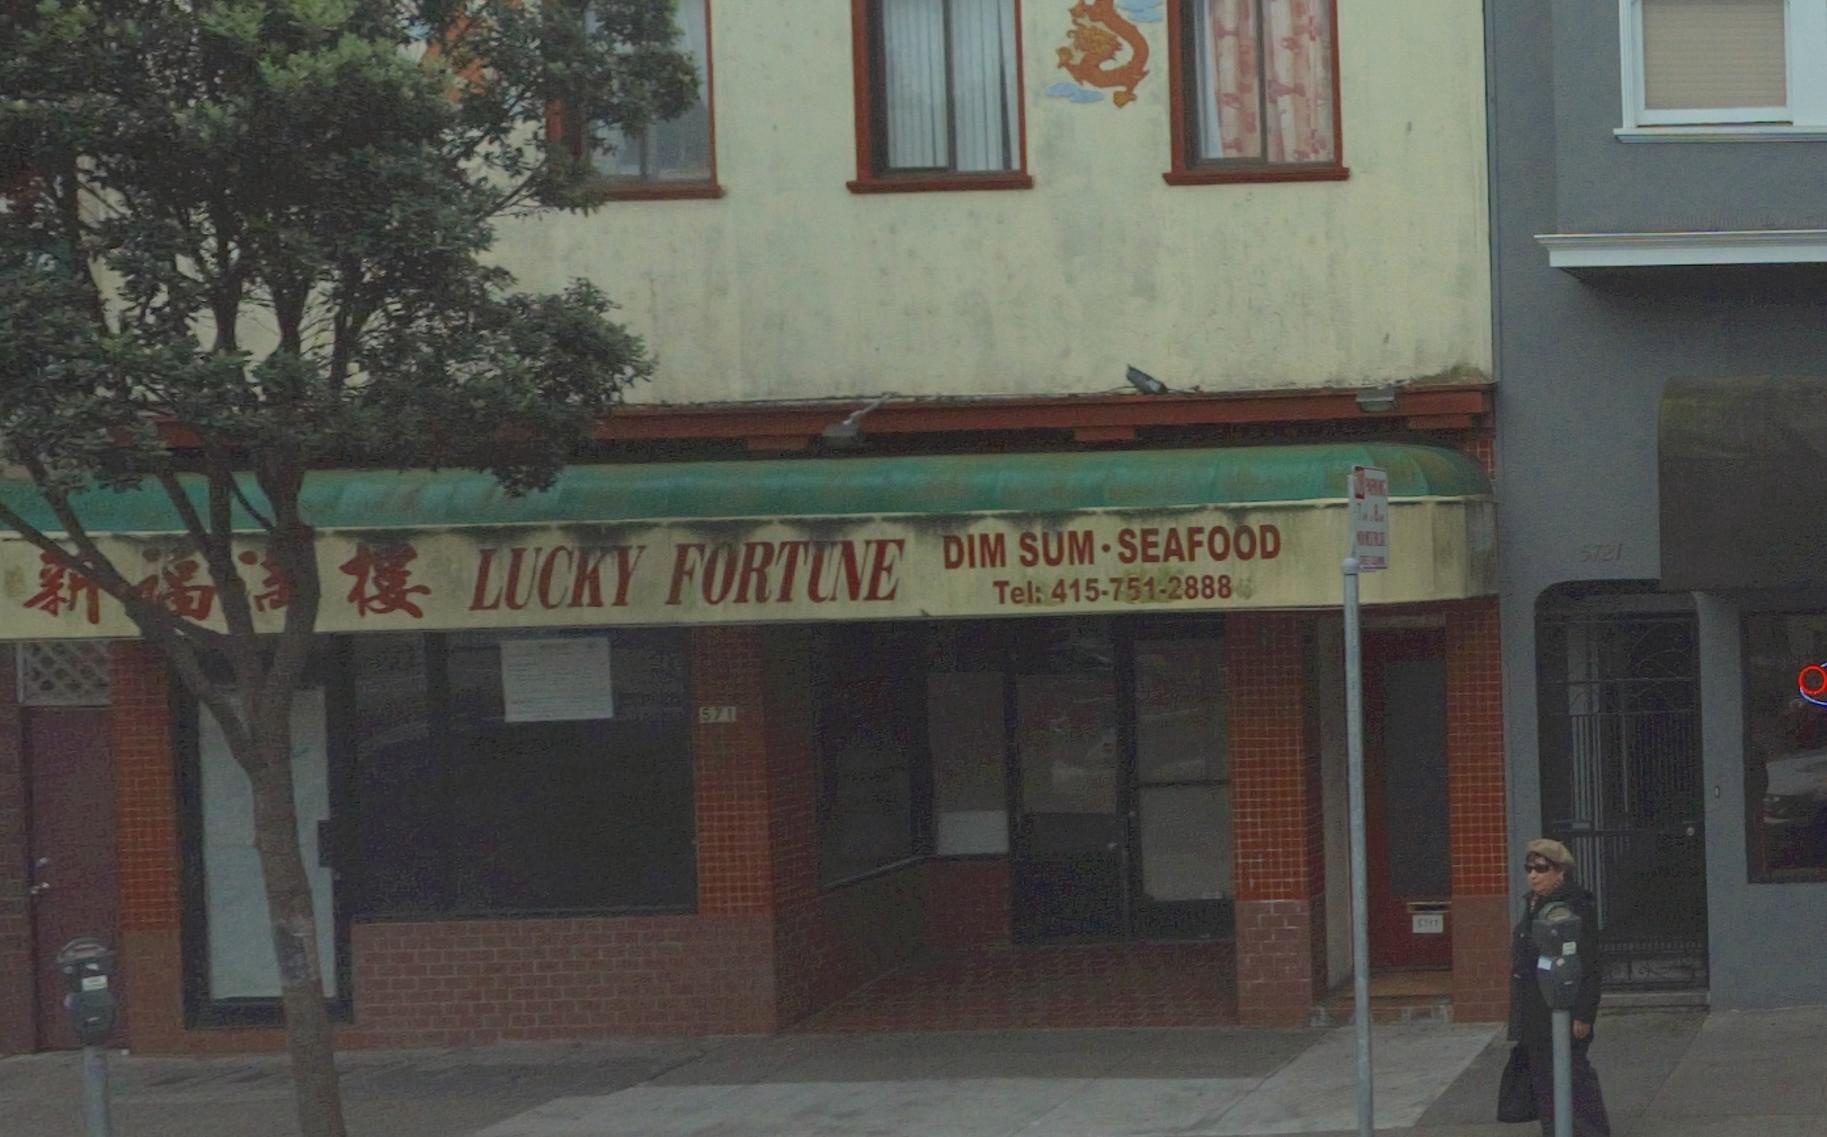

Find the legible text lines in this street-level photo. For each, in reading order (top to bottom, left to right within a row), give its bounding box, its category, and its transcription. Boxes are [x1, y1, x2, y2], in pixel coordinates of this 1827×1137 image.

[940, 520, 1285, 574] None: DIM SUM * SEAFOOD
[1577, 540, 1626, 564] StreetNumber: 5721
[462, 533, 911, 615] BusinessName: LUCKY FORTUNE
[987, 571, 1236, 608] None: Tel: 415-7*1-2888
[700, 704, 735, 724] StreetNumber: 571